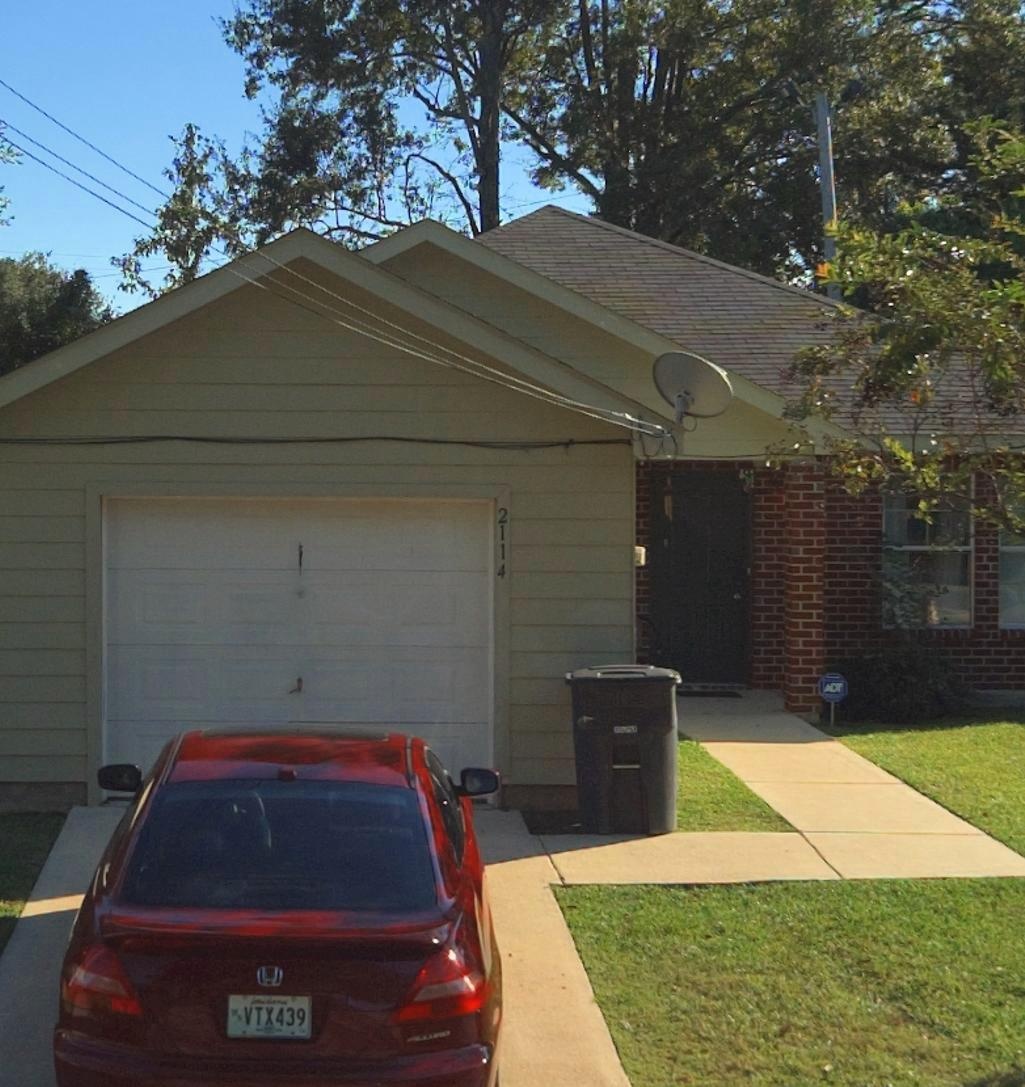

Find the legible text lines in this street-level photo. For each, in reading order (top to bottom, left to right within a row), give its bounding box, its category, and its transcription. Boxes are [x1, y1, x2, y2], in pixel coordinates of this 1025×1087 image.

[496, 506, 509, 580] StreetNumber: 2114
[822, 682, 845, 693] None: ADT
[243, 1004, 307, 1027] None: VTX439